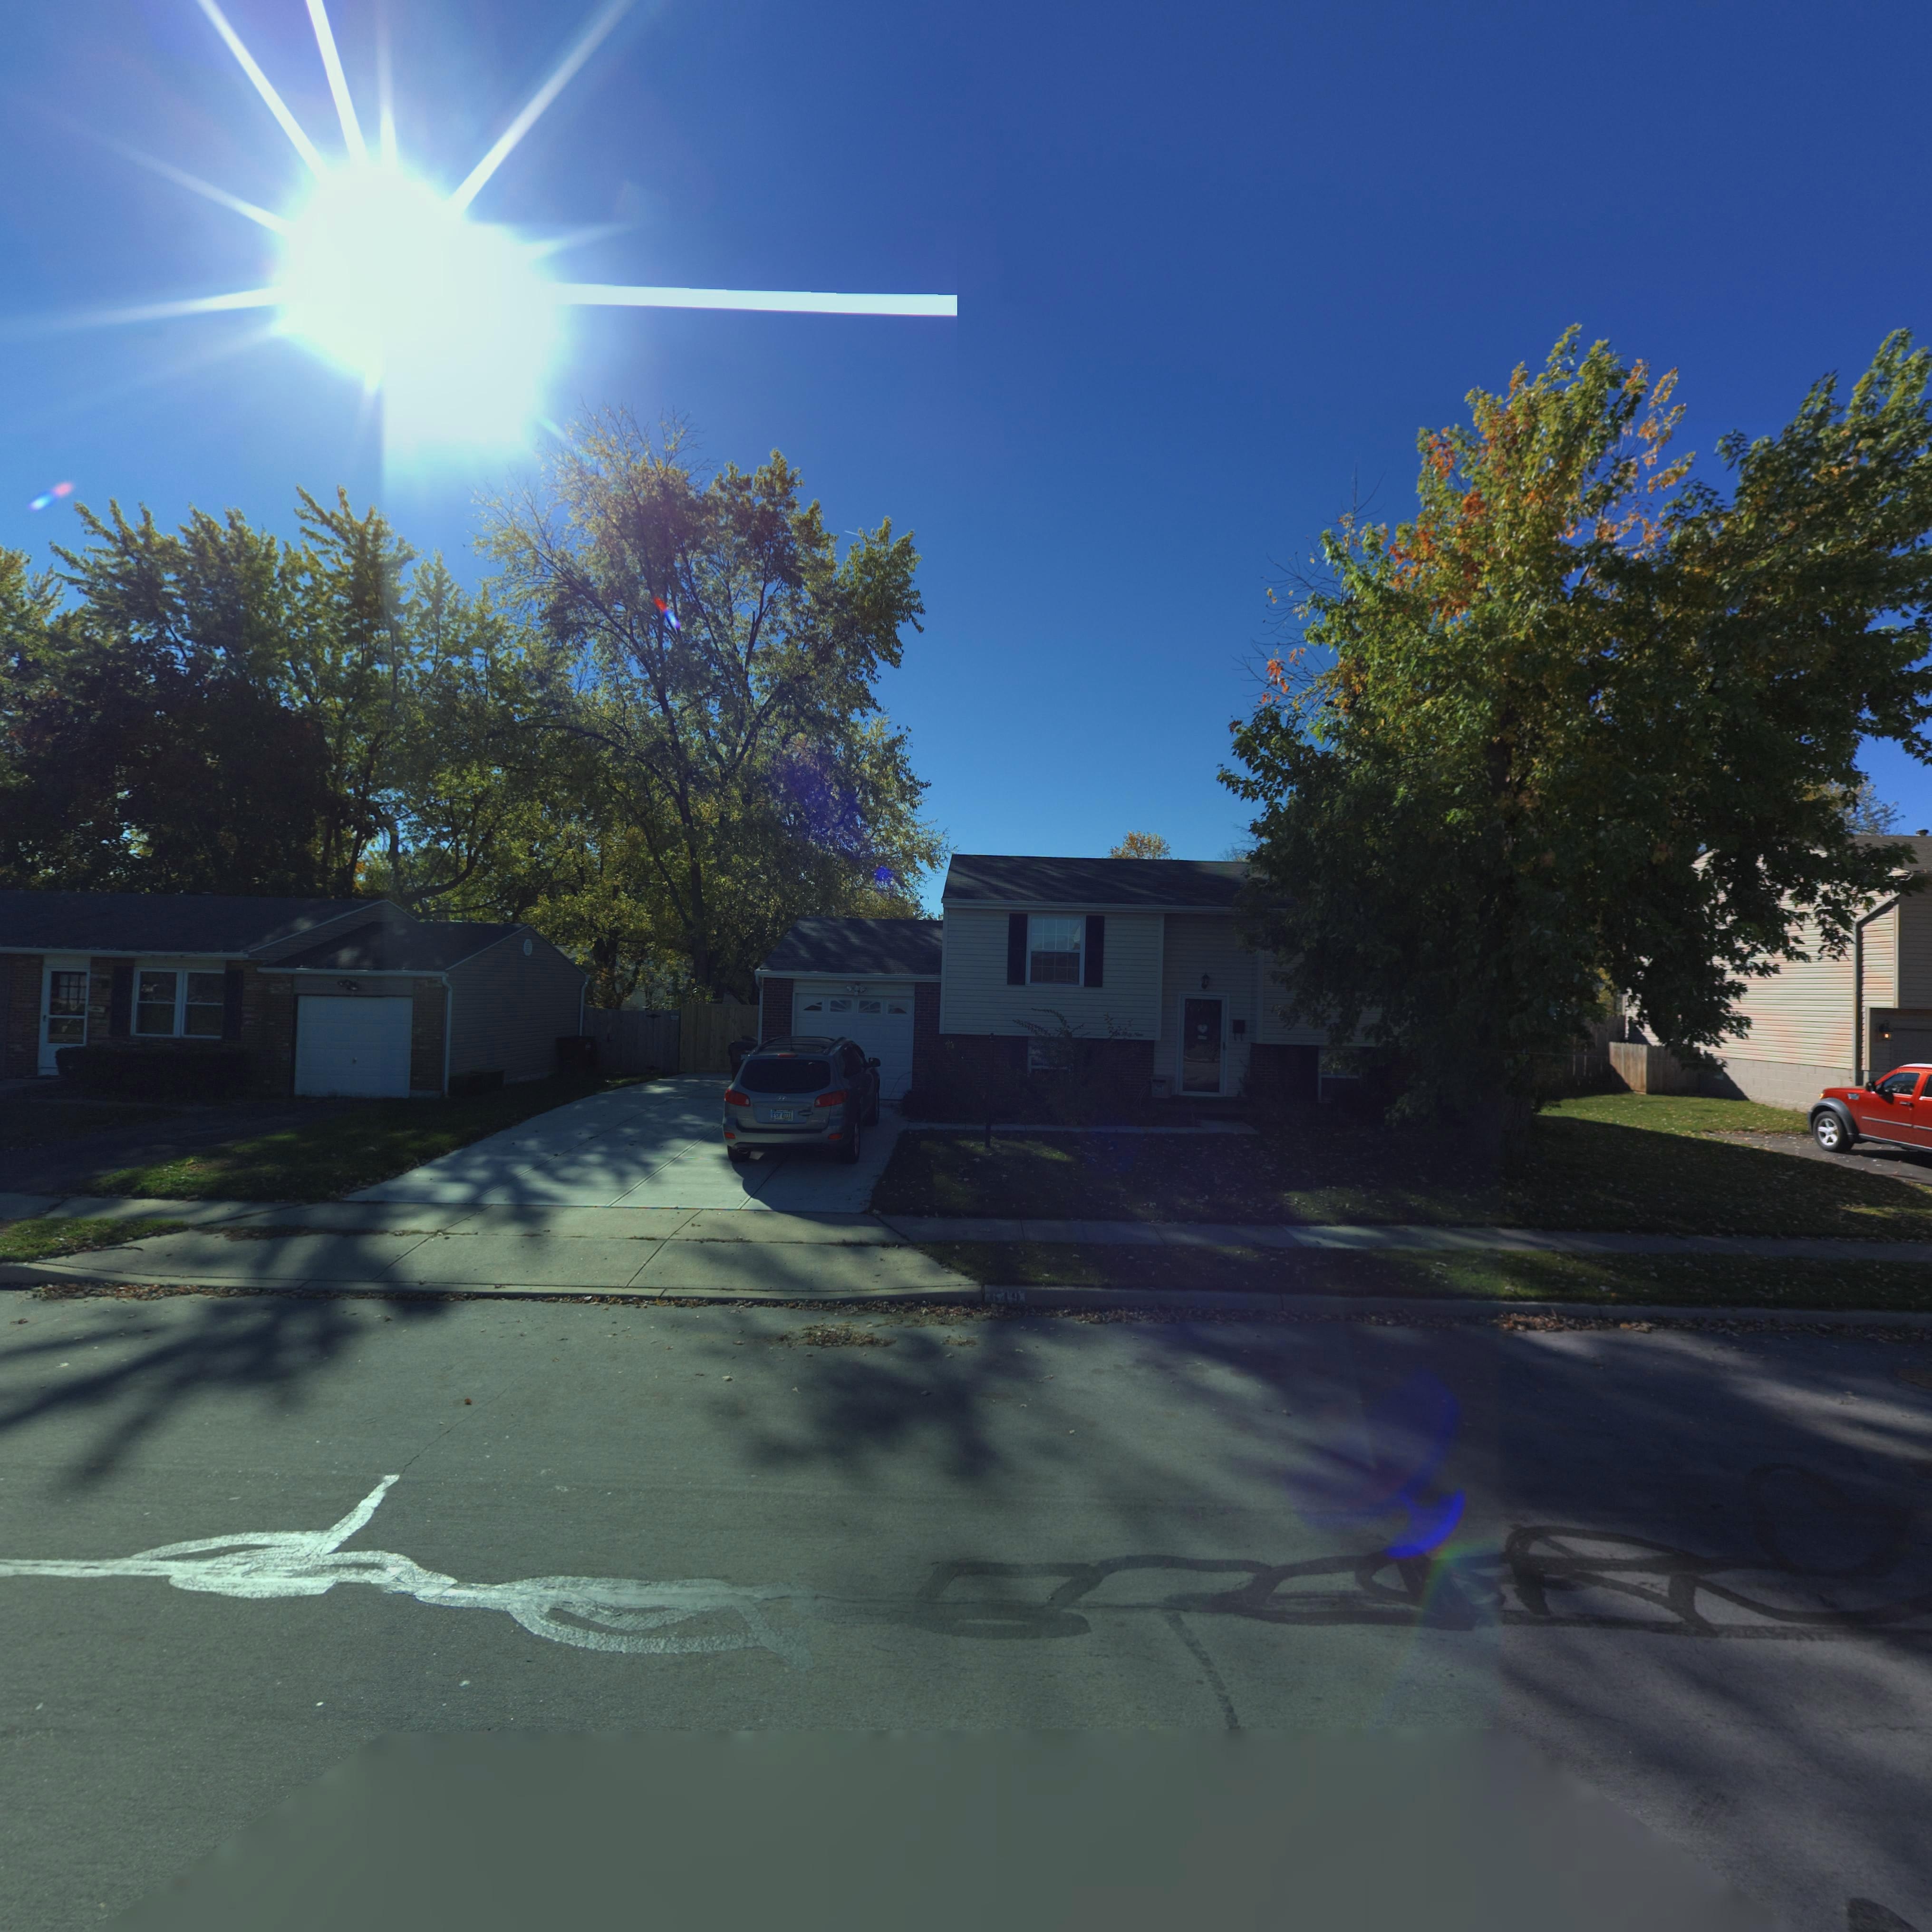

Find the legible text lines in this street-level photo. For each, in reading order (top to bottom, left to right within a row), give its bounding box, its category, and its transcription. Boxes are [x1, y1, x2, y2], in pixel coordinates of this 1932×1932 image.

[1132, 1032, 1143, 1037] StreetNumber: Nine
[772, 1111, 792, 1120] None: ES* ****
[989, 1291, 1021, 1305] StreetNumber: 649